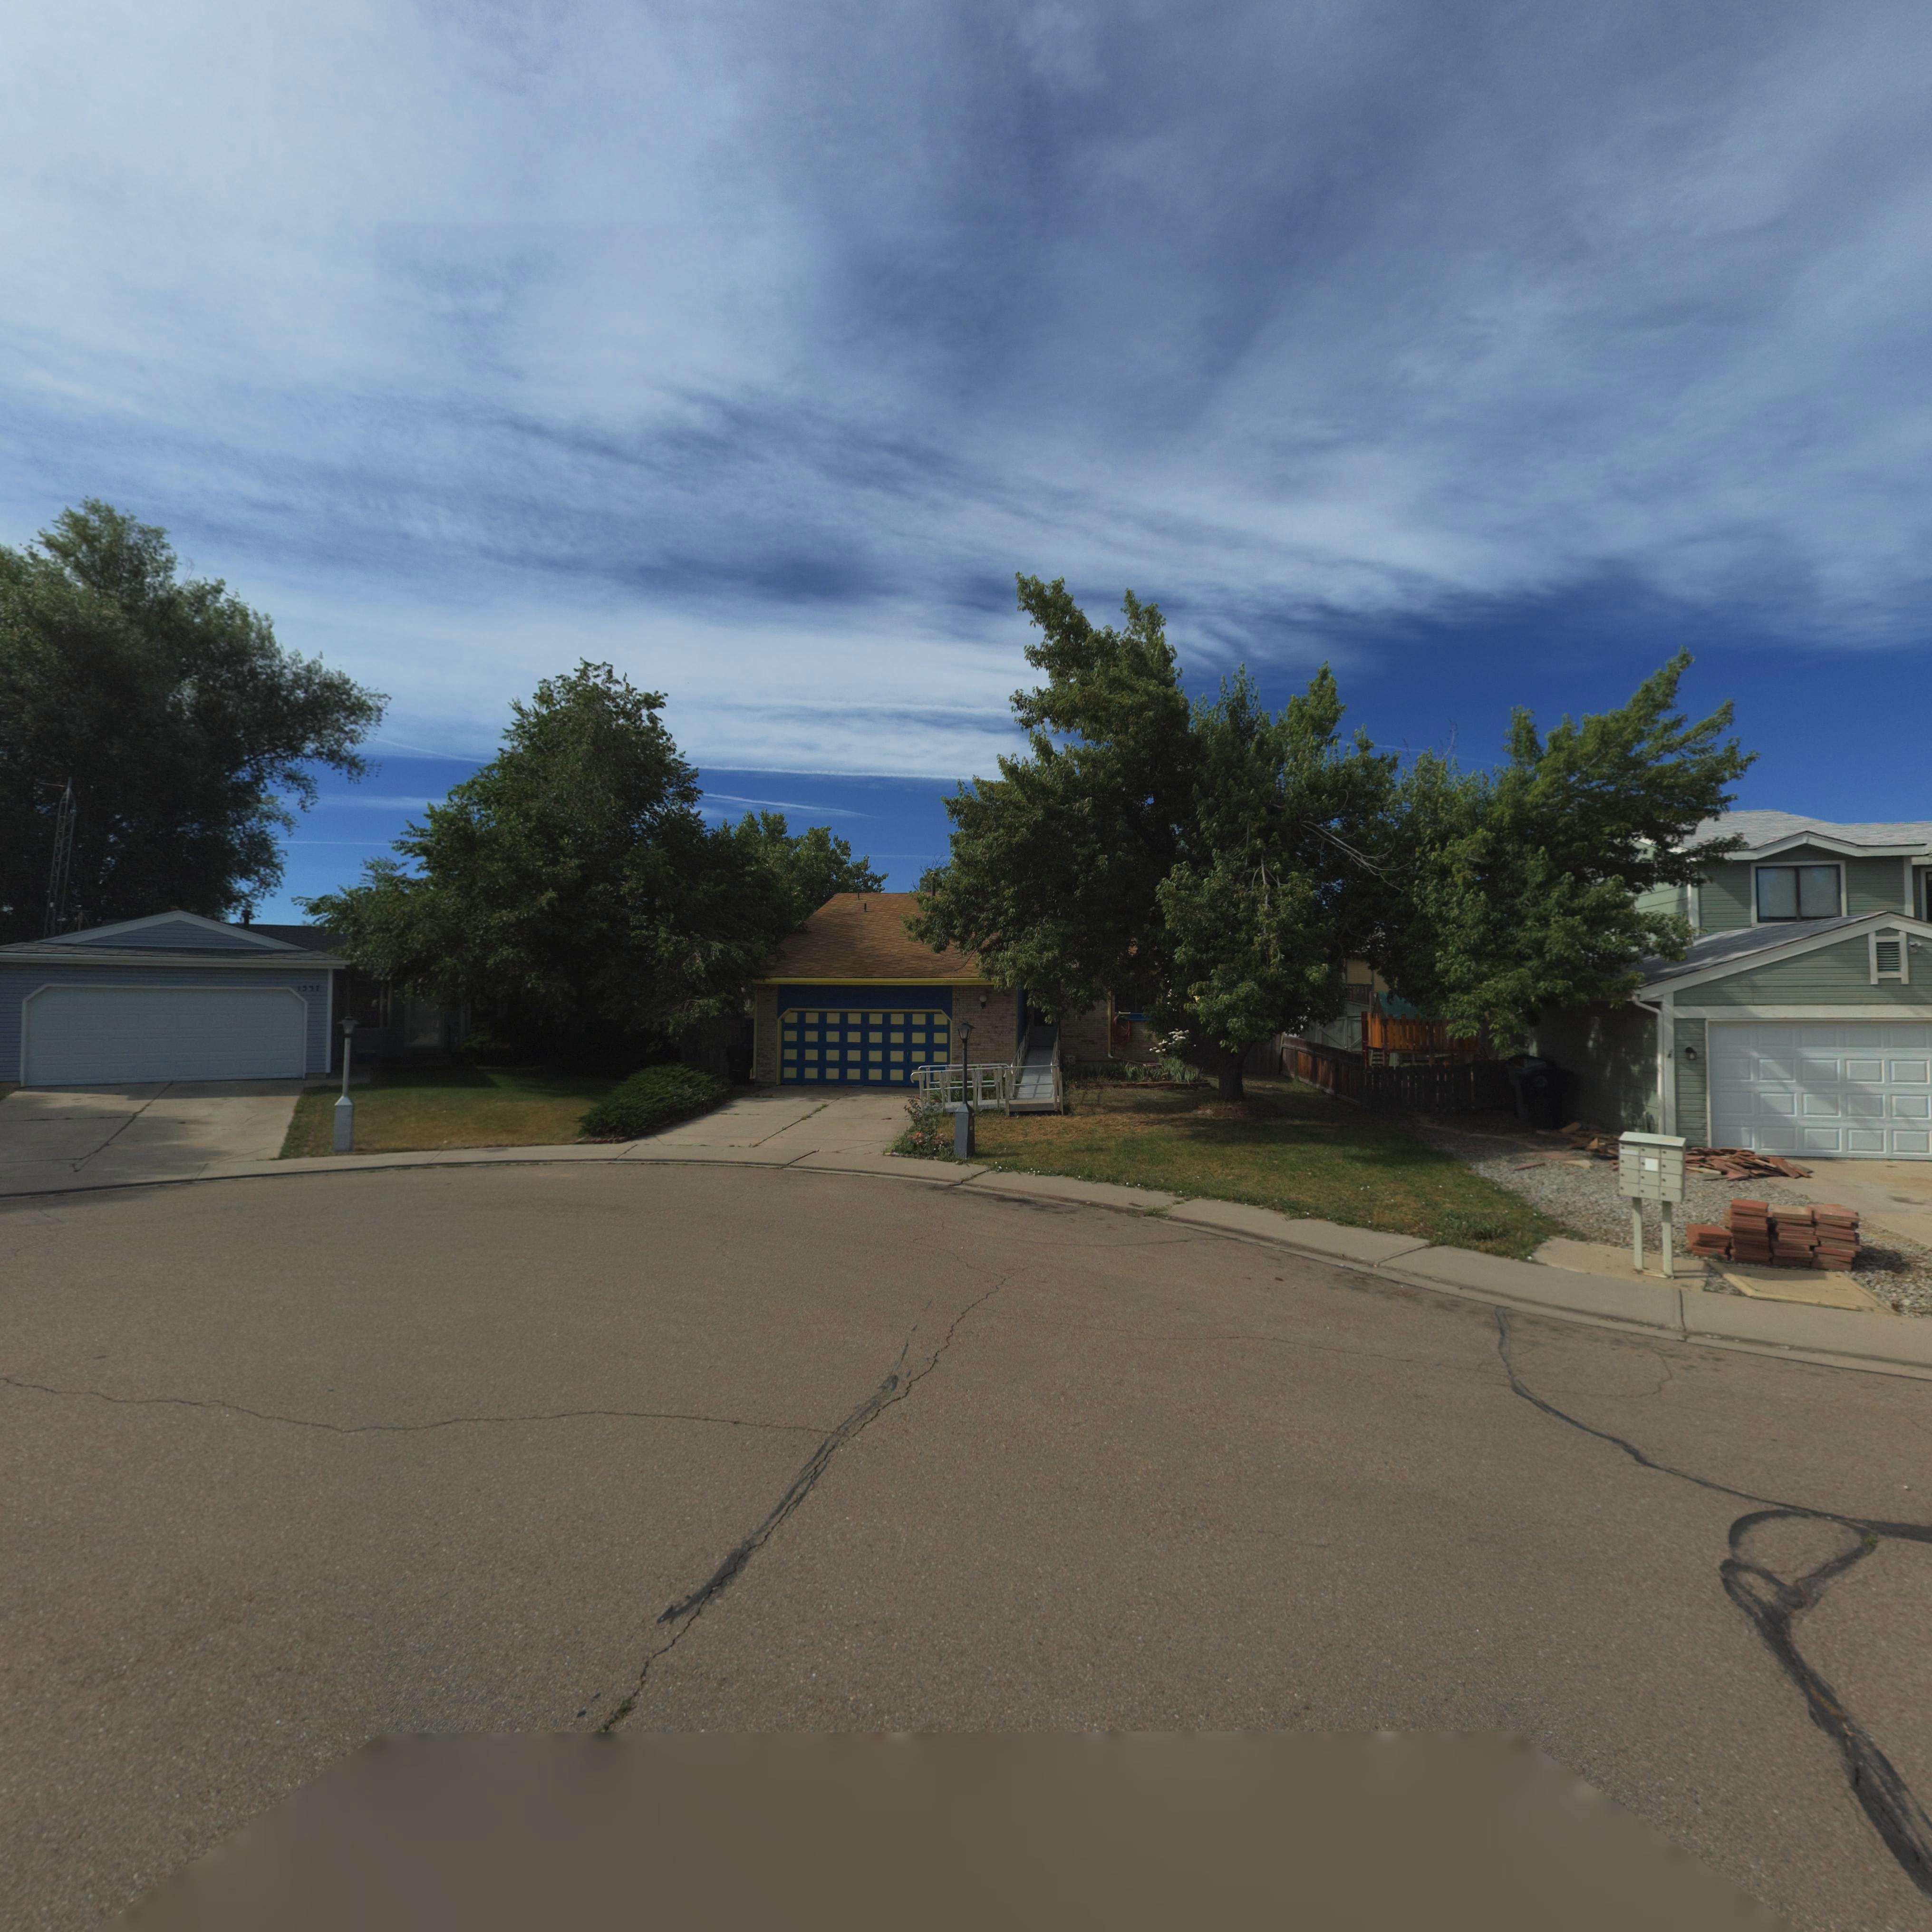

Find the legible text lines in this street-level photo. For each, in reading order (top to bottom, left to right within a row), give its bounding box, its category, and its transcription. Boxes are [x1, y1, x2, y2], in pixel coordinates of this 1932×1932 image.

[296, 985, 320, 992] StreetNumber: 1537